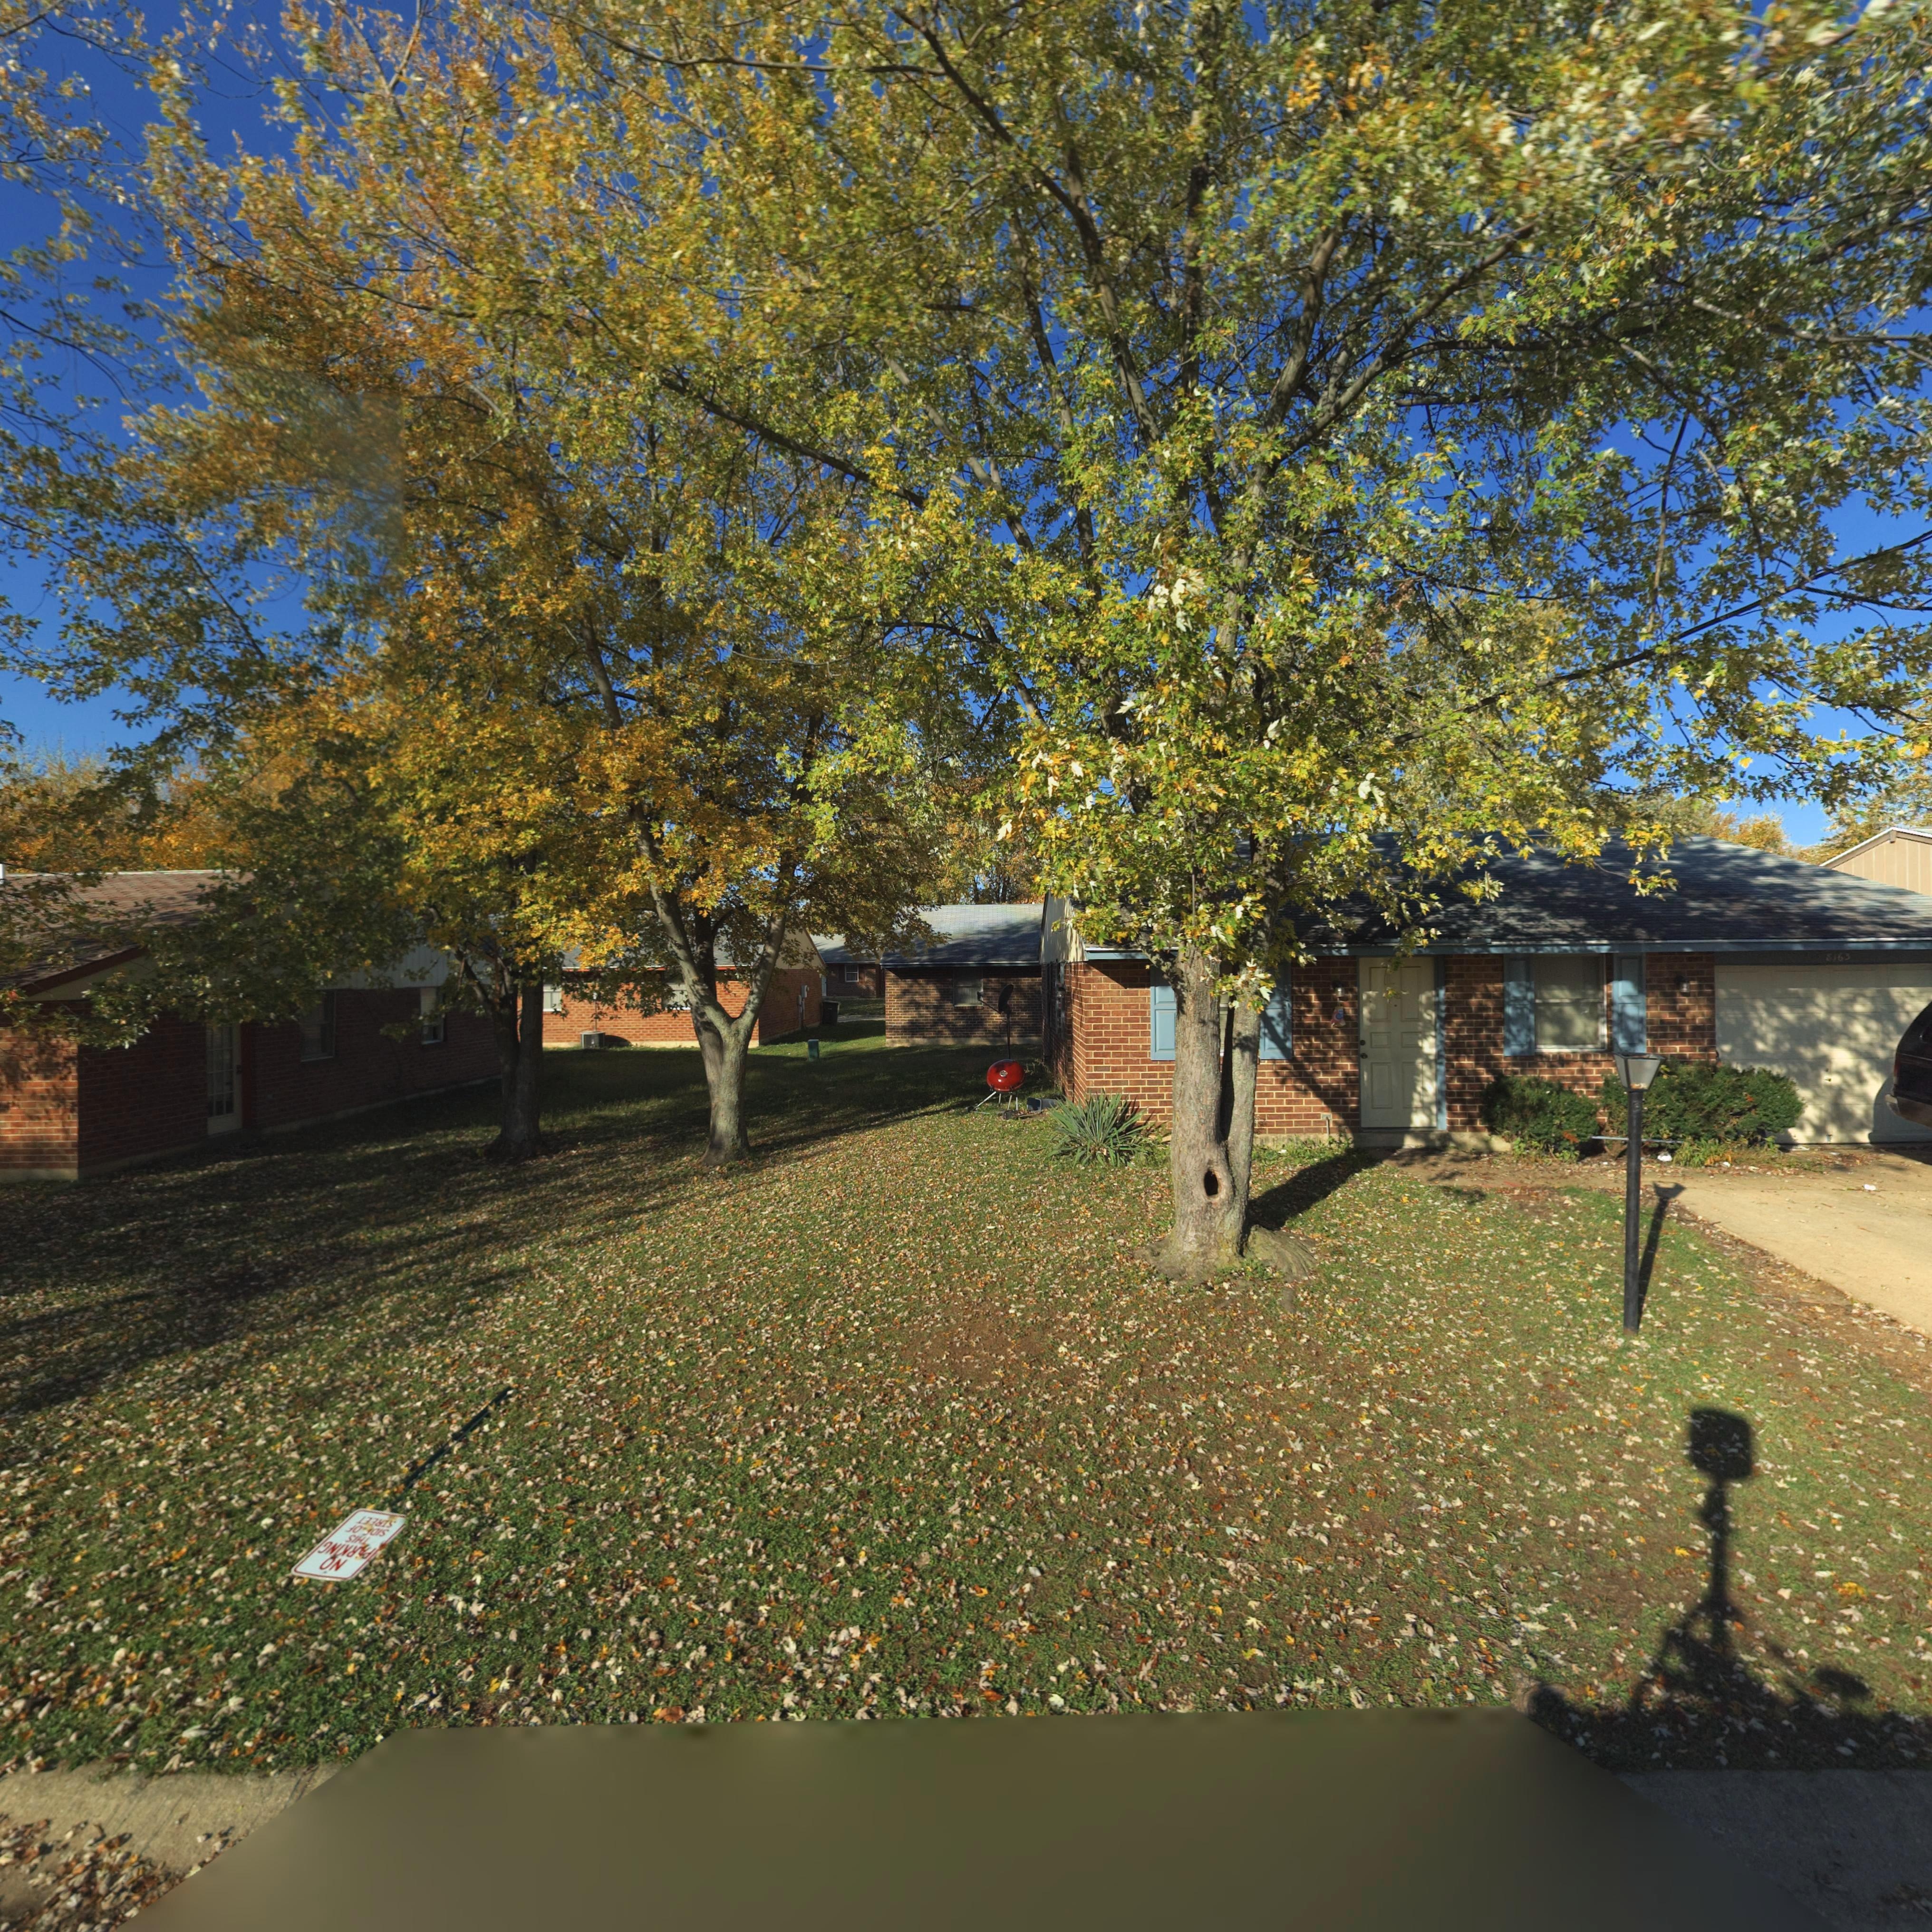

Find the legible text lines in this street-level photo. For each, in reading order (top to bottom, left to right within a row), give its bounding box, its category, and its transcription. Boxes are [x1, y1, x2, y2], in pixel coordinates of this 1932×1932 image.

[1824, 951, 1853, 964] StreetNumber: 8163